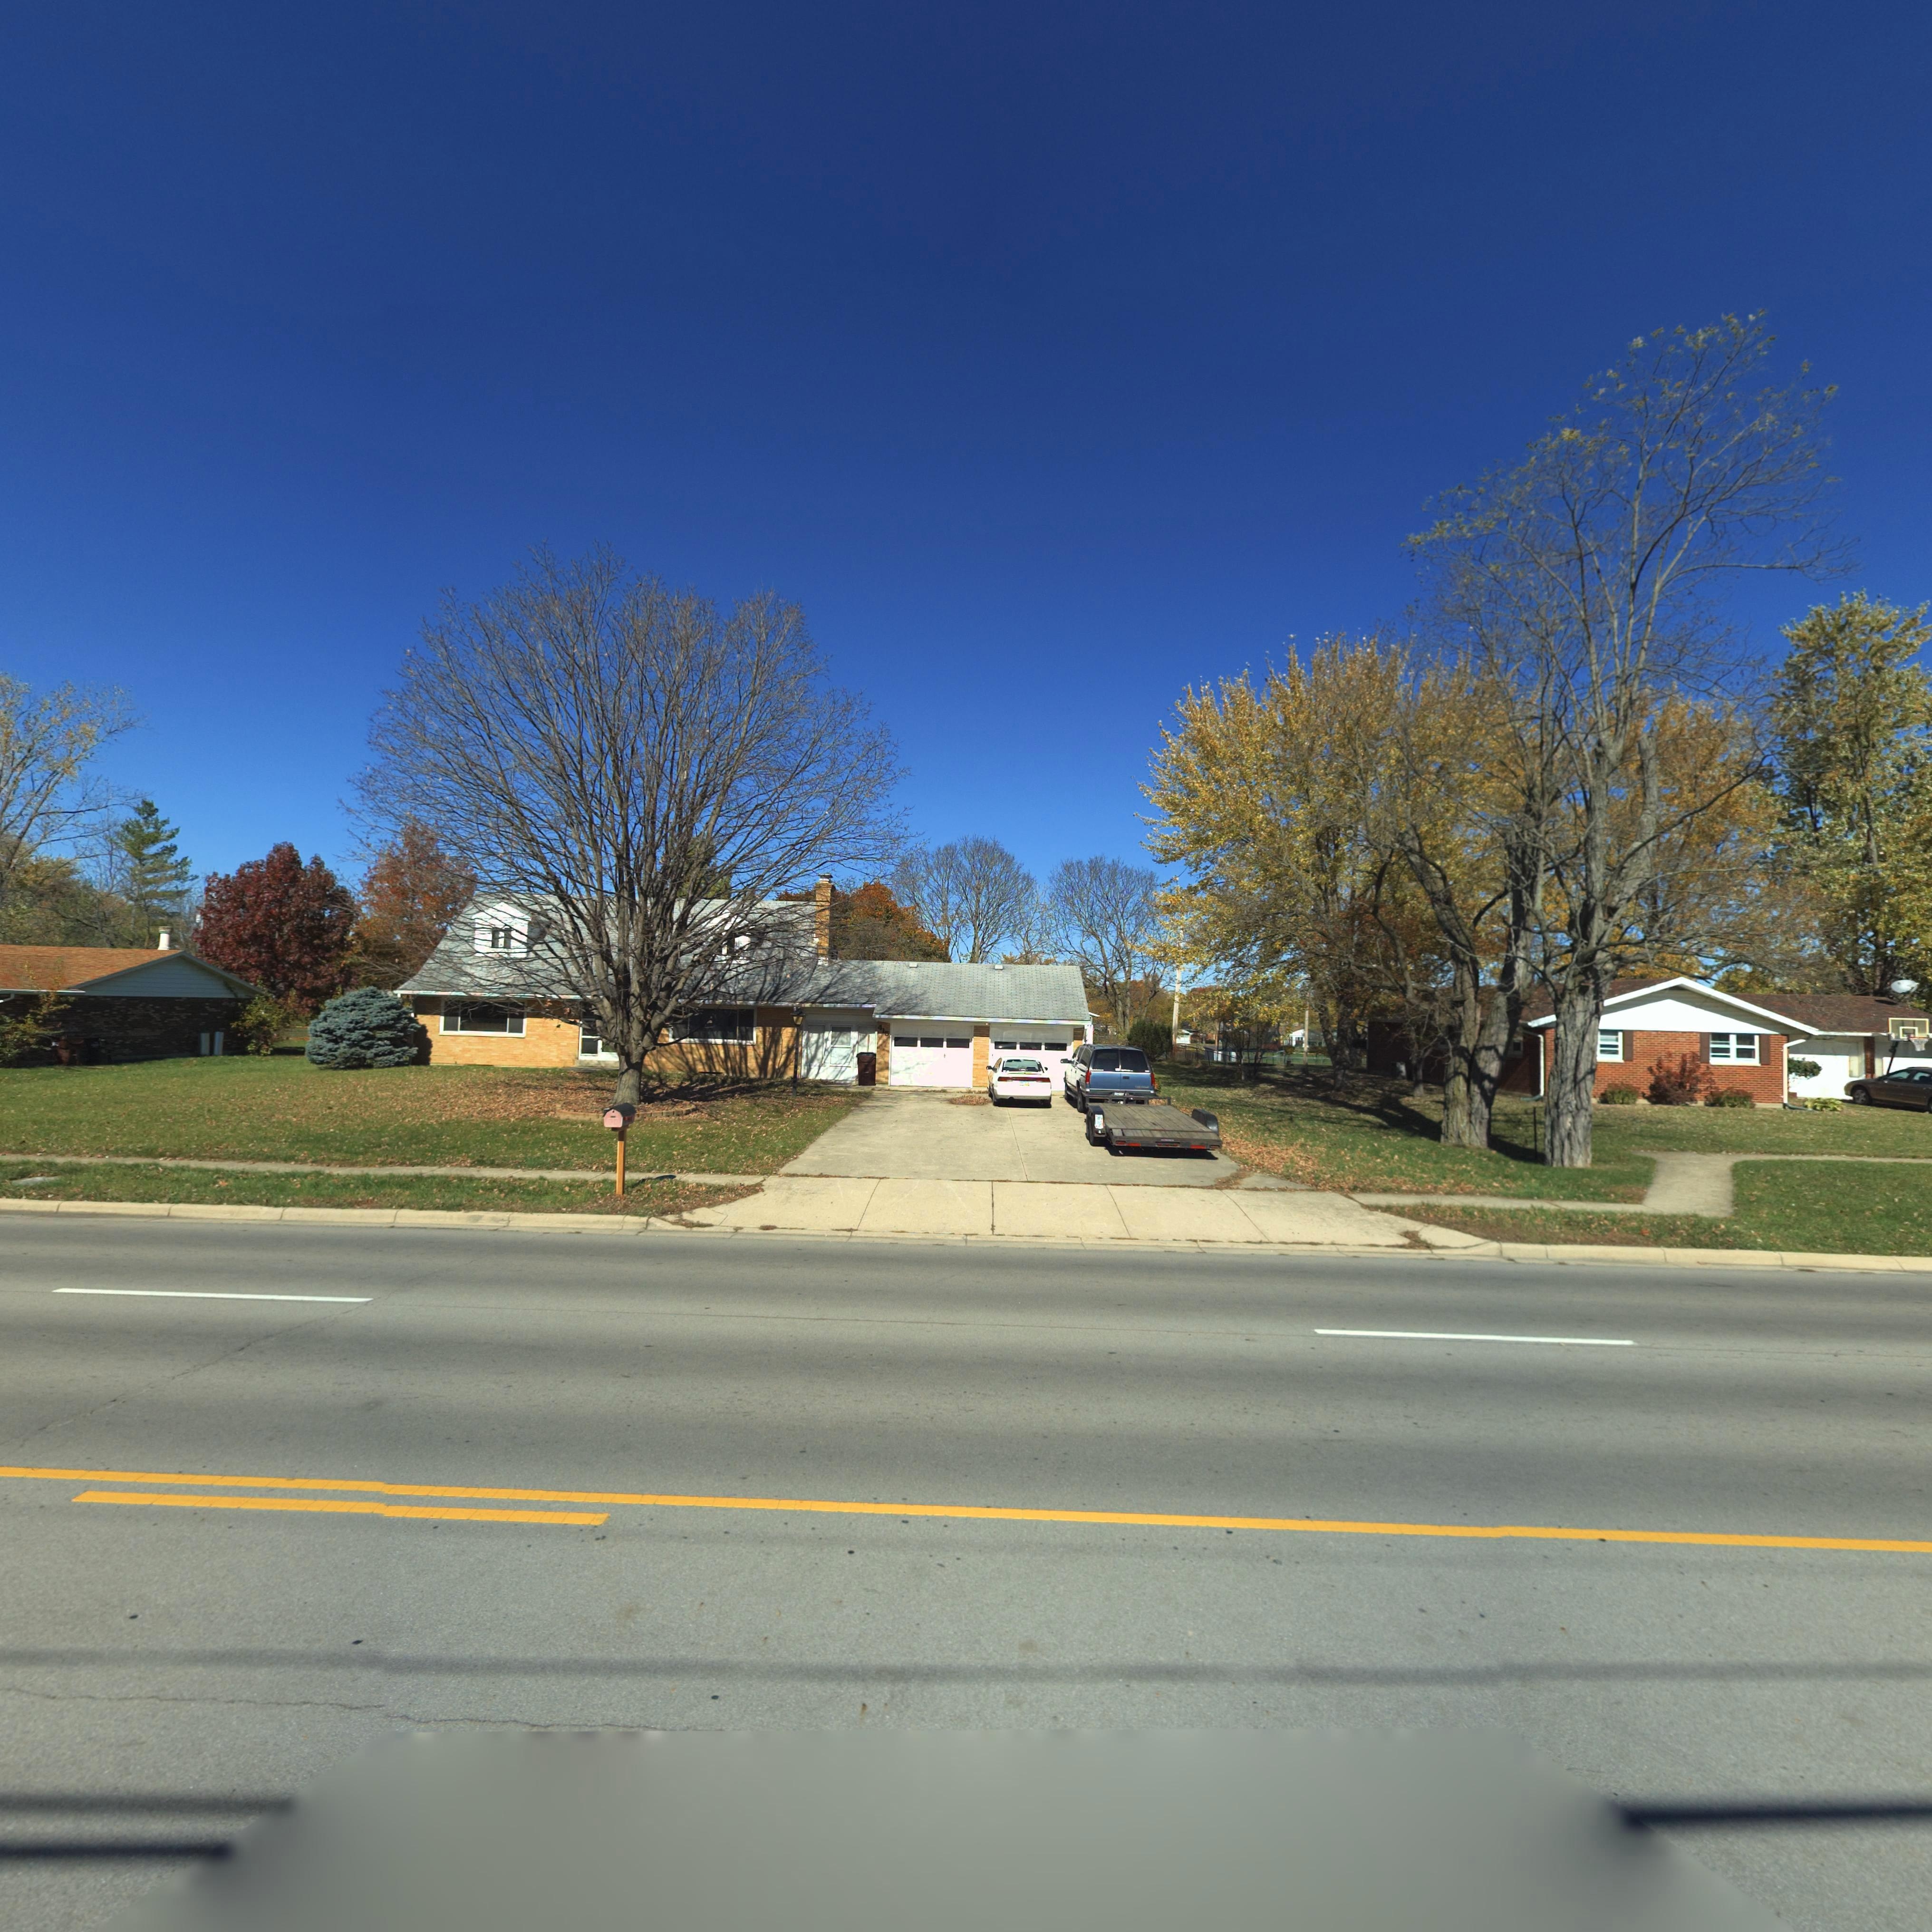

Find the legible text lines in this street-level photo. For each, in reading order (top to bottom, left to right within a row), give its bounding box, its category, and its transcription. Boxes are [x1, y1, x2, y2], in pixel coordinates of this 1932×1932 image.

[877, 1024, 890, 1037] StreetNumber: 415